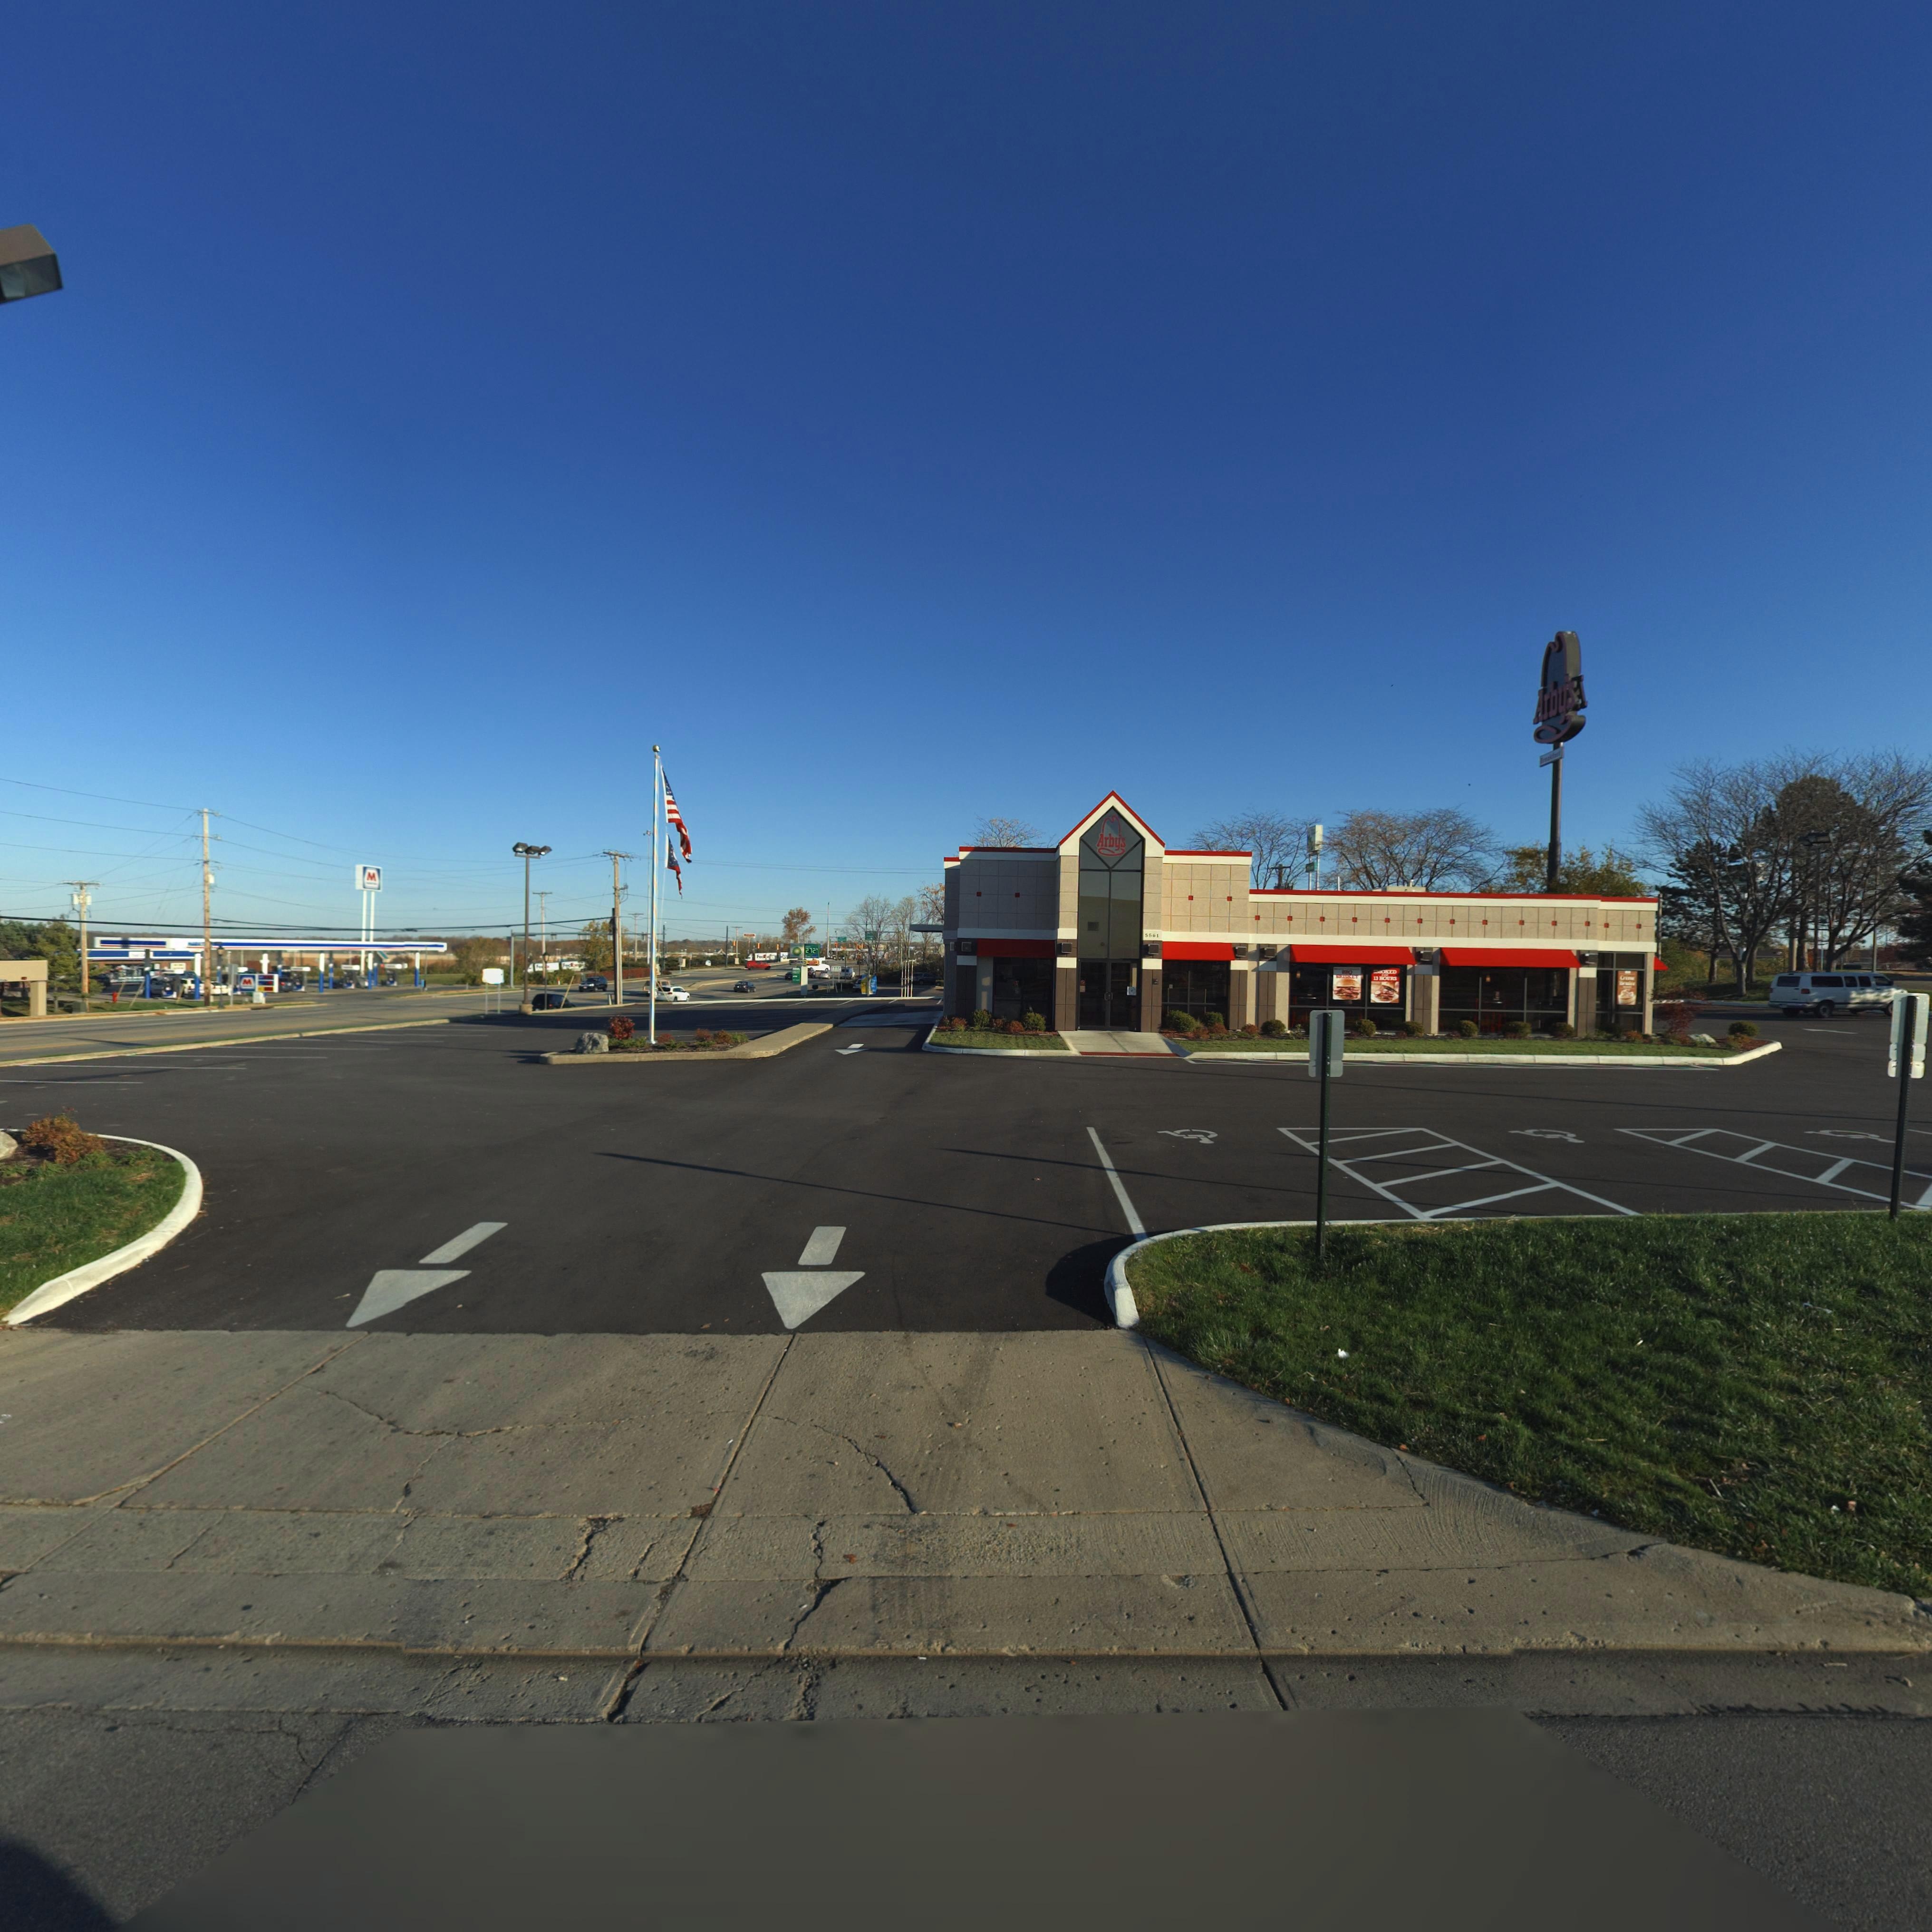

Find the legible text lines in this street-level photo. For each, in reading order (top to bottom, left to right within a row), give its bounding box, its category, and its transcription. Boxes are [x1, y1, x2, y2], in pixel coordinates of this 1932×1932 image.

[1532, 674, 1576, 726] BusinessName: Arby's
[1095, 832, 1127, 852] BusinessName: Arby's
[1144, 932, 1160, 938] StreetNumber: 5561